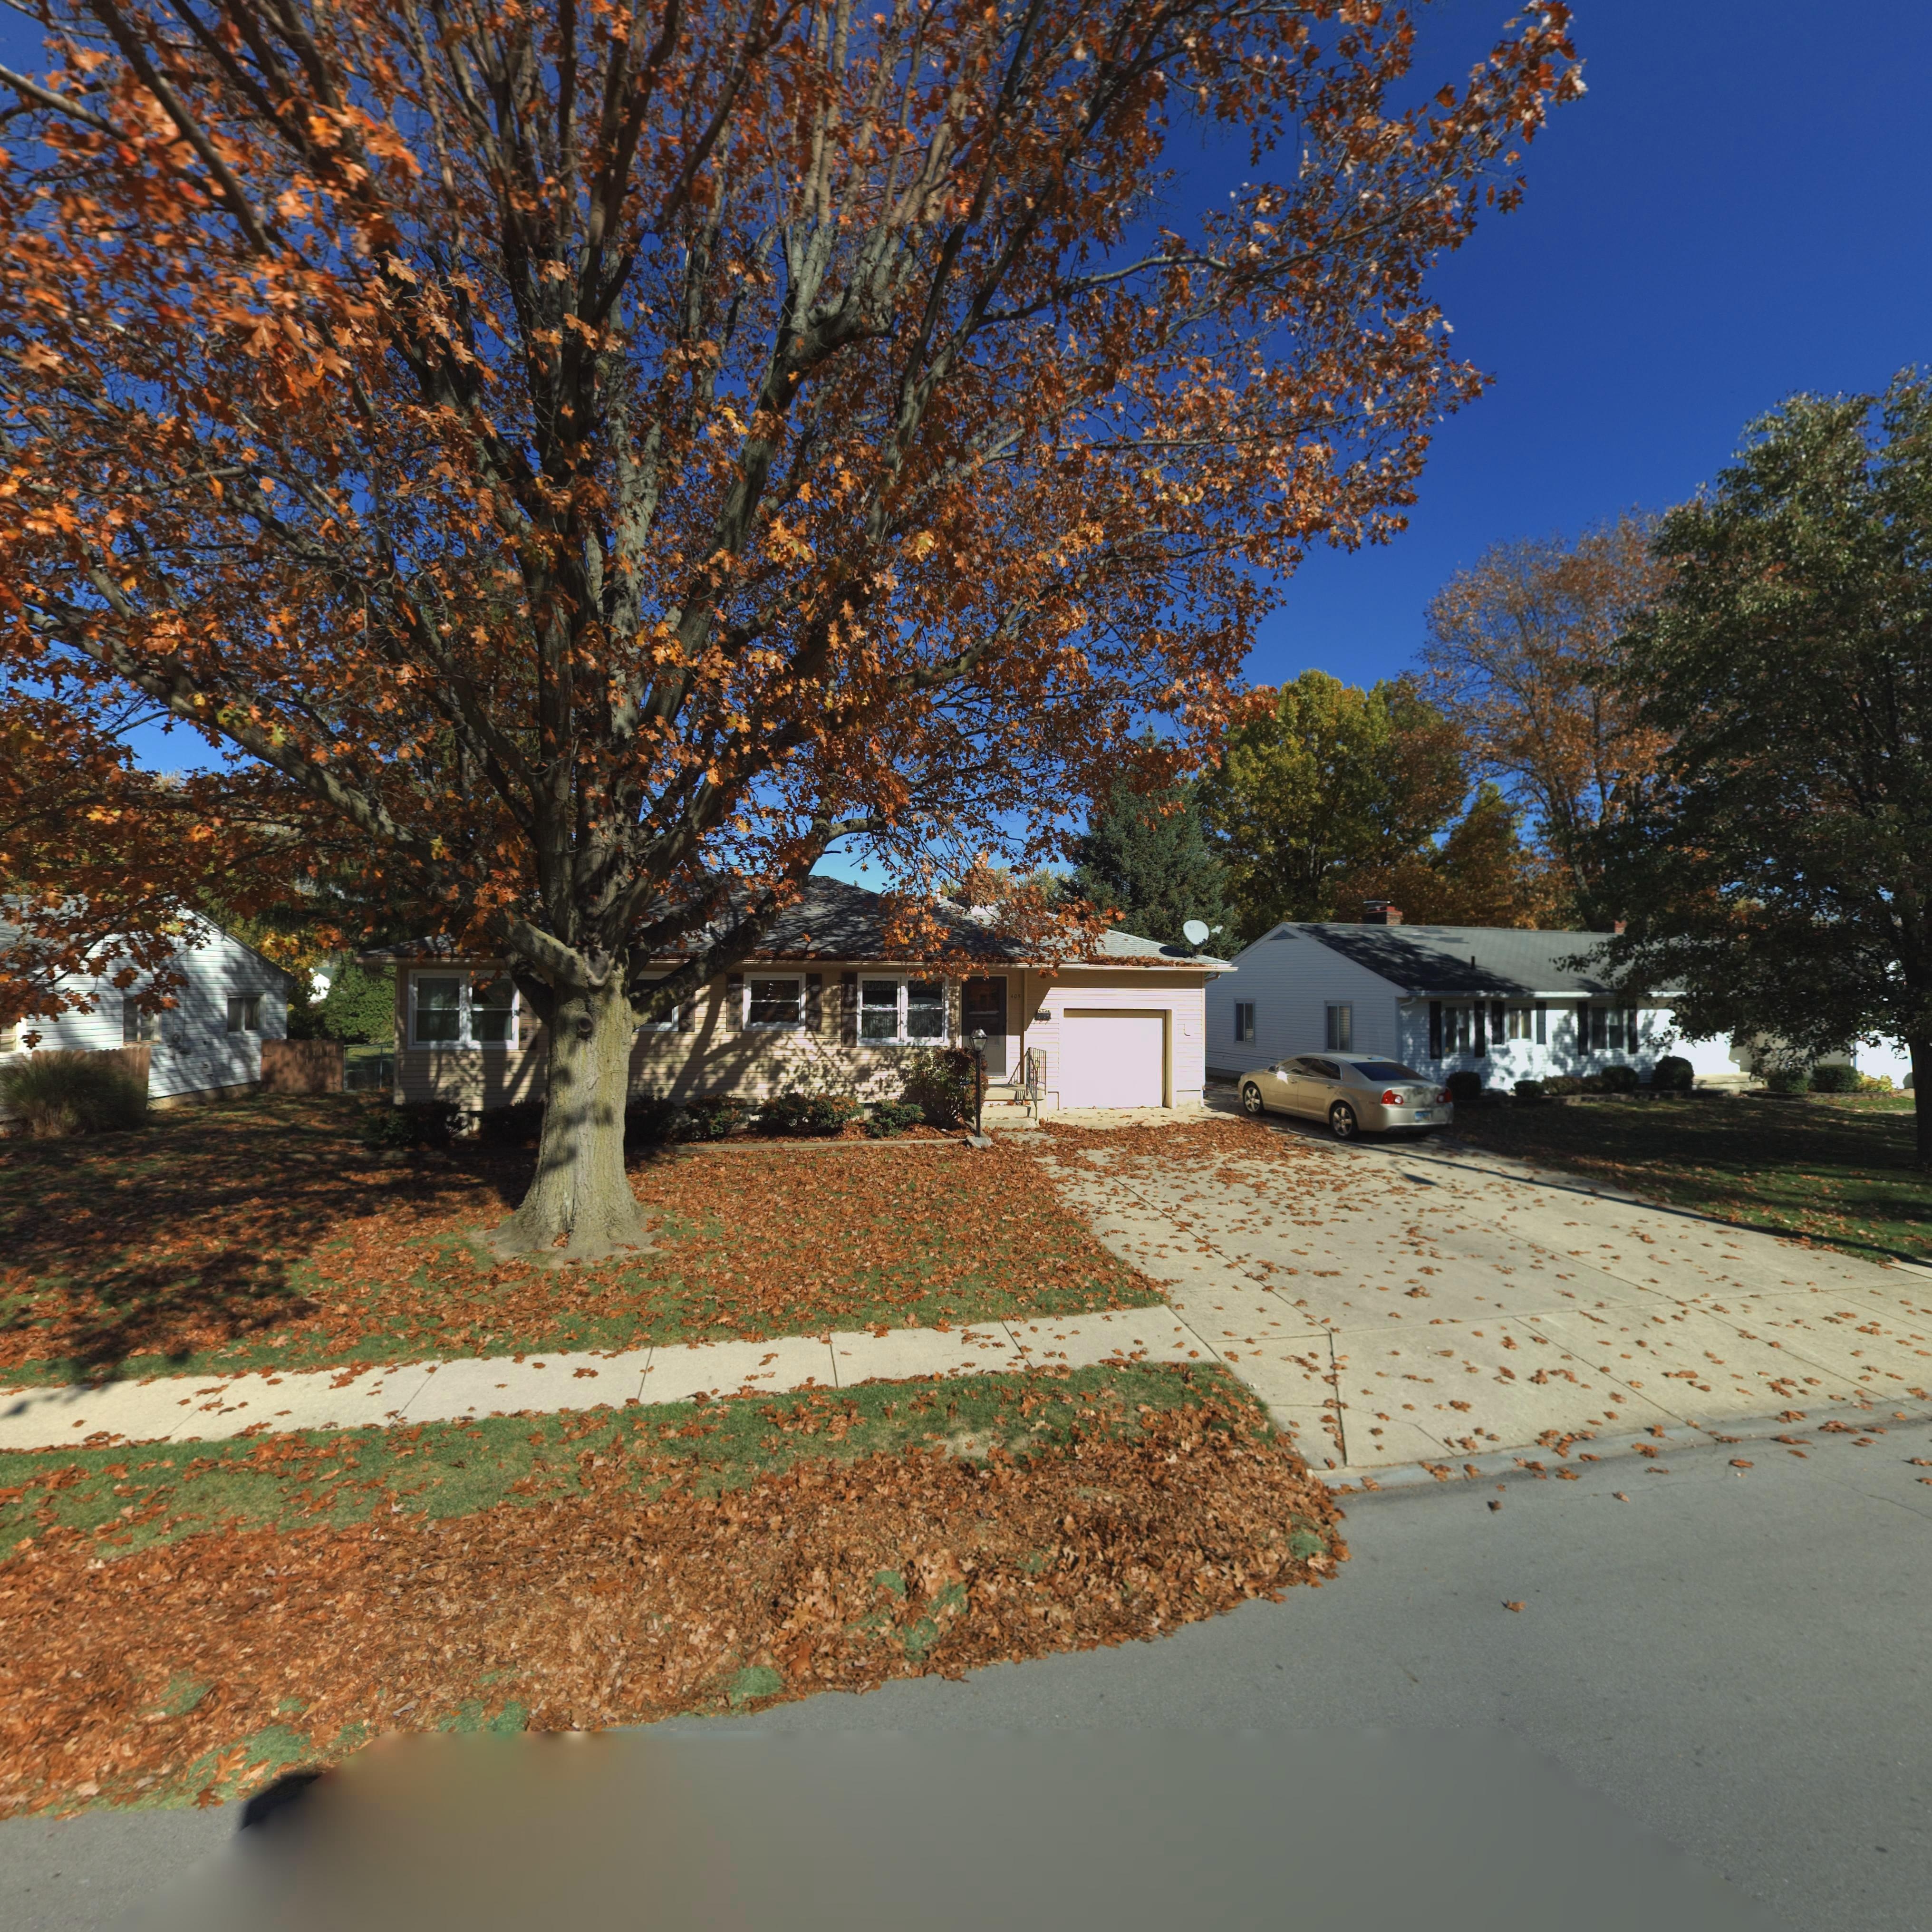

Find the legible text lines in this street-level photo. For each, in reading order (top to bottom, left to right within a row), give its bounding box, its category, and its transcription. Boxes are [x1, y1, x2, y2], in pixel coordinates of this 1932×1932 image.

[1010, 994, 1021, 999] StreetNumber: 405